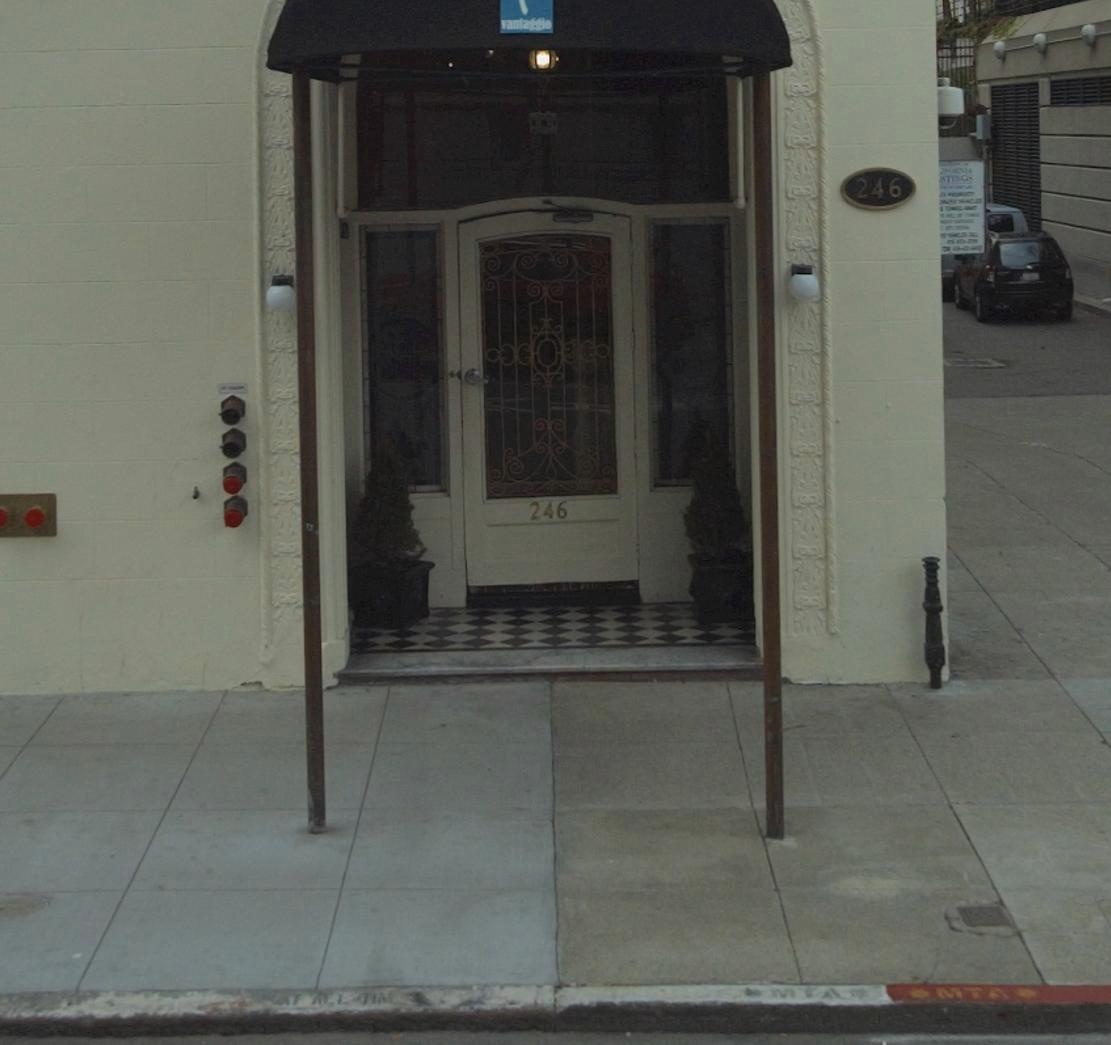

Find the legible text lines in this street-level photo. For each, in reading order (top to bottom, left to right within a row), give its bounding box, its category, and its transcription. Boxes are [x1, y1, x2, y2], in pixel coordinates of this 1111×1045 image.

[499, 16, 553, 32] BusinessName: vantaggio
[854, 175, 903, 199] StreetNumber: 246
[528, 498, 569, 522] StreetNumber: 246
[768, 985, 848, 1002] None: MTA
[931, 985, 1016, 1001] None: MTA